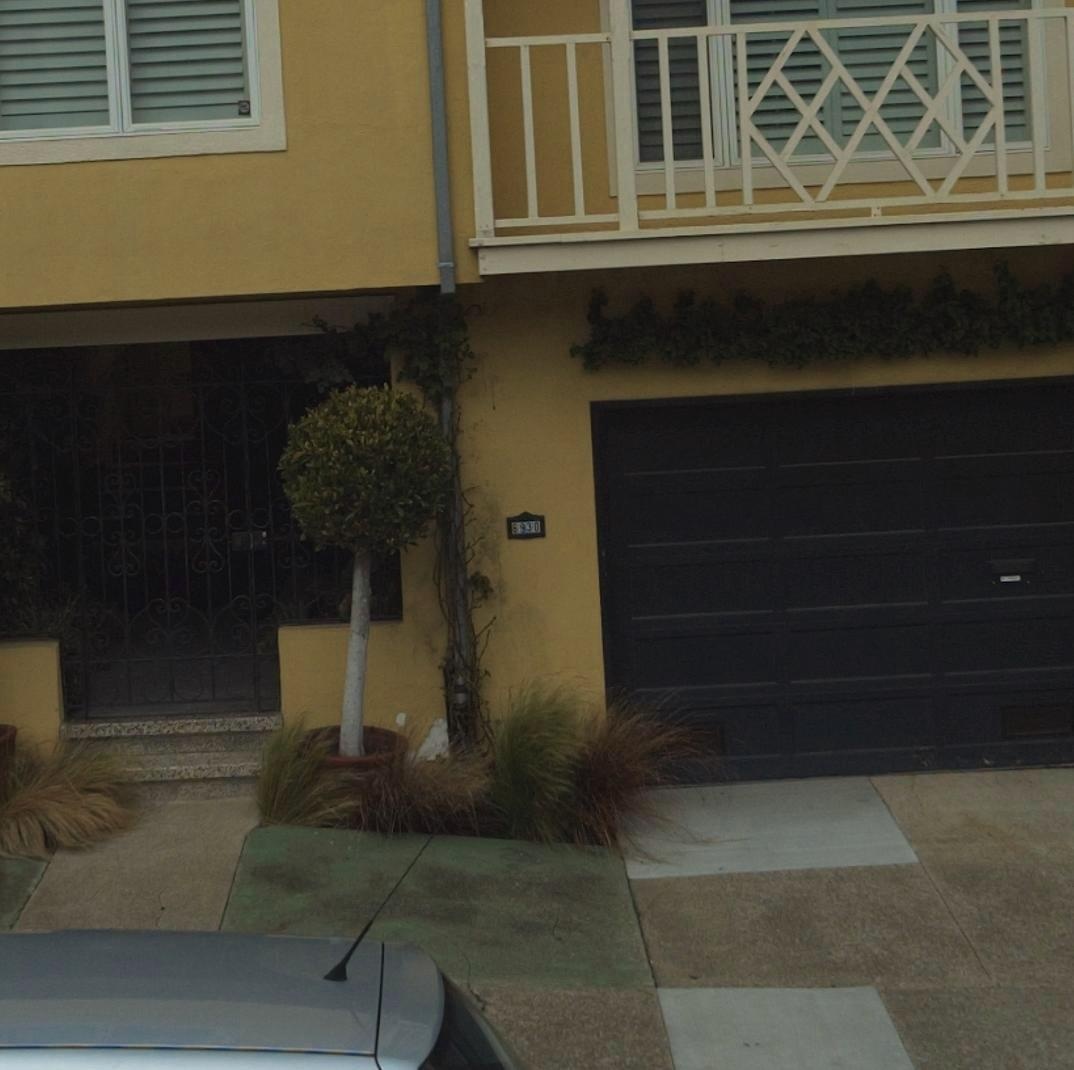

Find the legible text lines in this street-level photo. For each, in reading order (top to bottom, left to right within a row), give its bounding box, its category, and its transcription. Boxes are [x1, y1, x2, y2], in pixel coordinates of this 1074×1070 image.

[511, 521, 540, 534] StreetNumber: *930